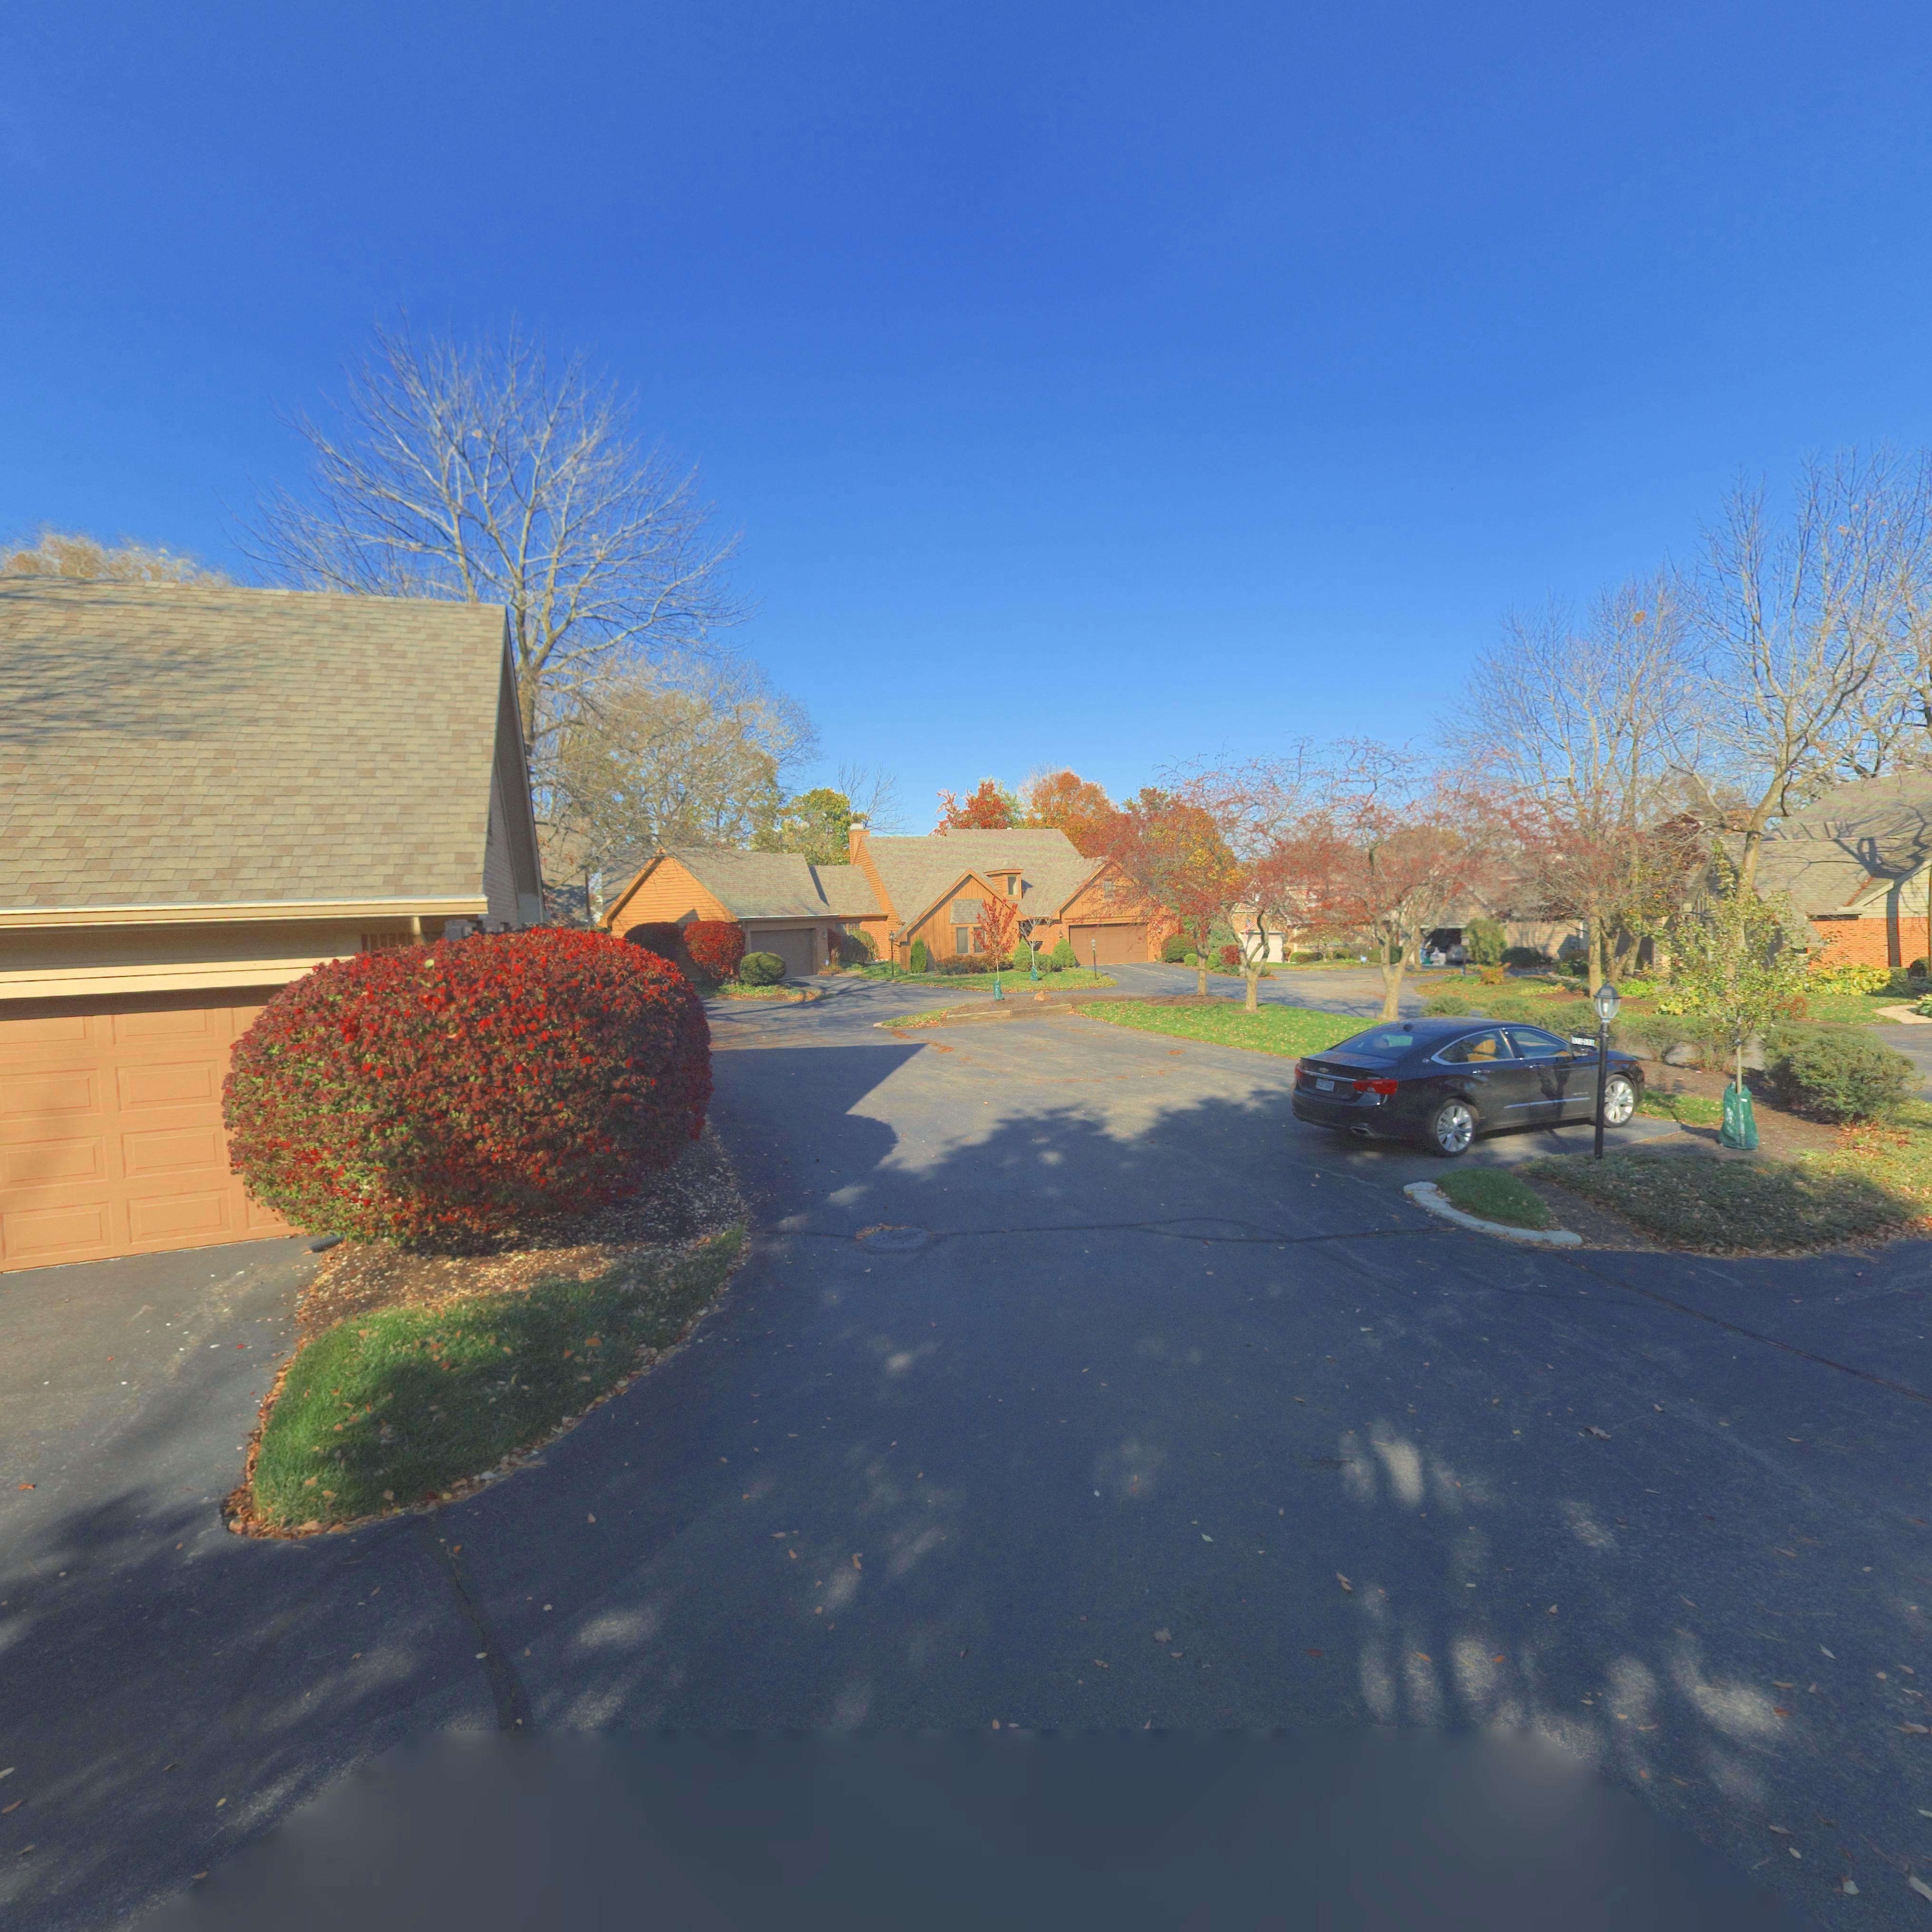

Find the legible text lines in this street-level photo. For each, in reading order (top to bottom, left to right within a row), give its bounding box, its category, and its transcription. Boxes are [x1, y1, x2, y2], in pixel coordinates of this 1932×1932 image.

[1571, 1036, 1583, 1045] StreetNumber: 570
[1583, 1038, 1595, 1046] StreetNumber: 5*0